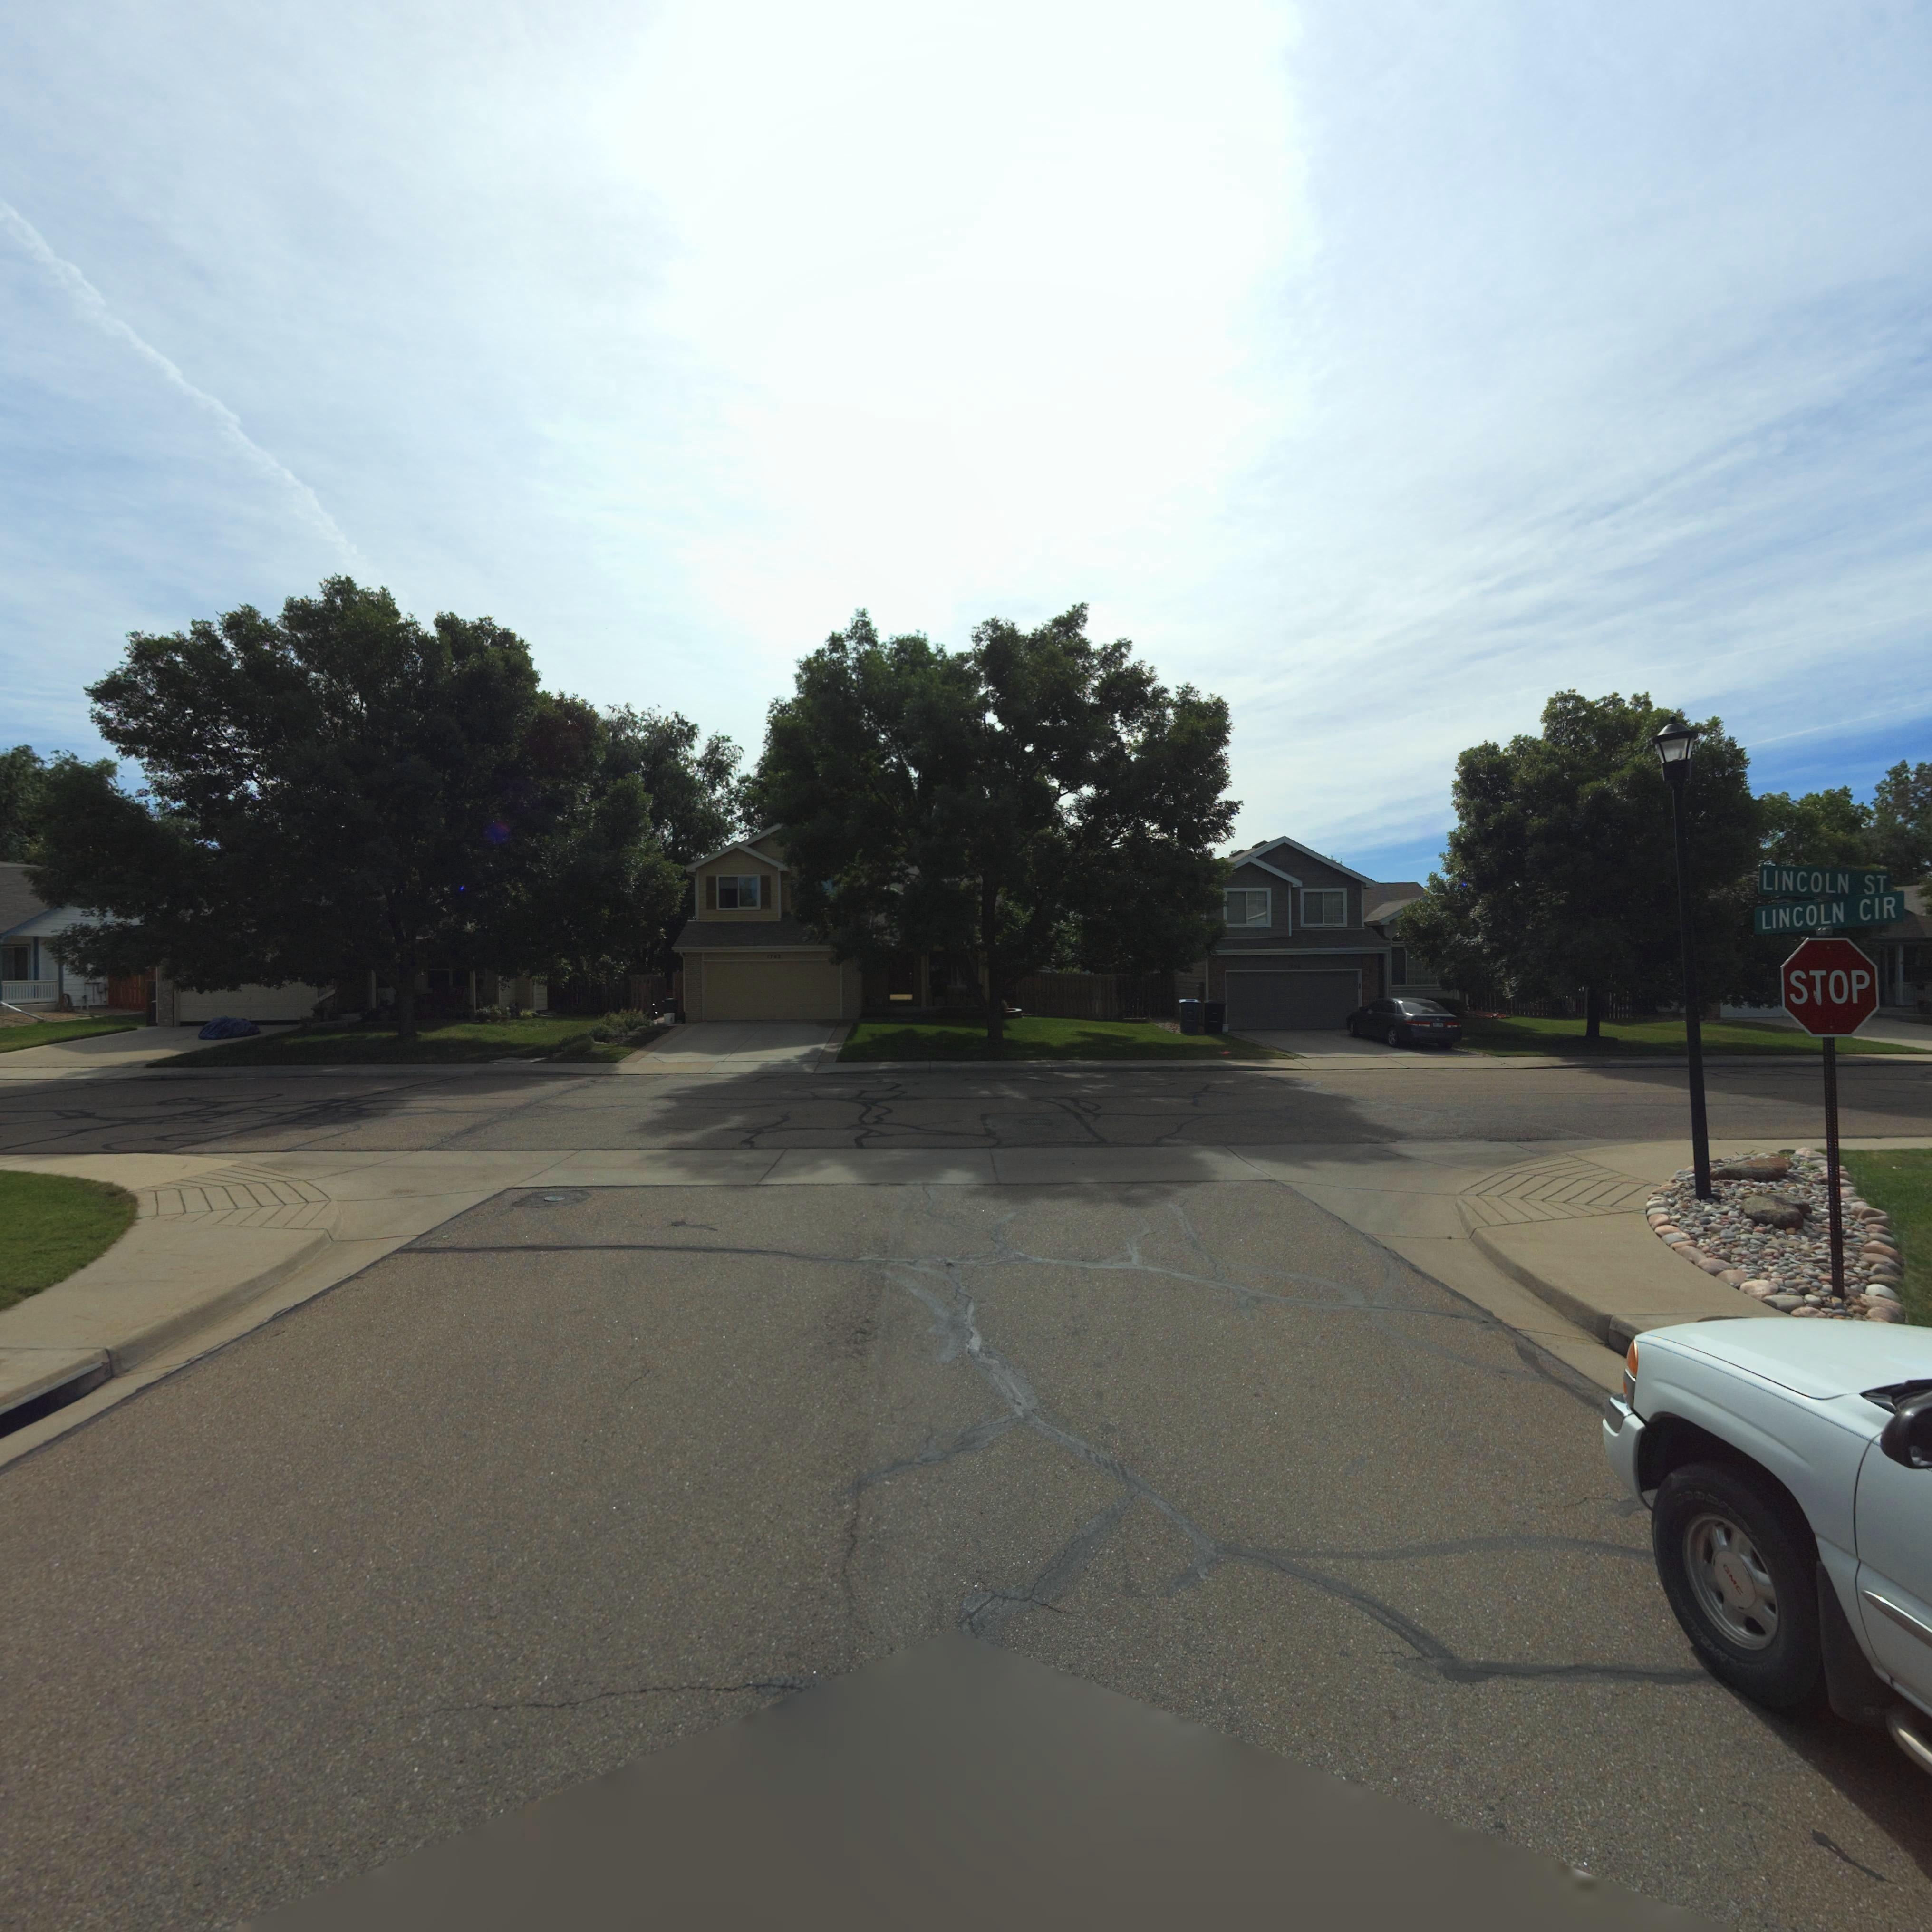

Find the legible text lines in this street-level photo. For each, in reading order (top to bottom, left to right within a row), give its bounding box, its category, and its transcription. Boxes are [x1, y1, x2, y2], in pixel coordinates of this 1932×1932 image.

[1762, 869, 1887, 895] StreetName: LINCOLN ST
[1761, 895, 1896, 930] StreetName: LINCOLN CIR
[766, 953, 781, 959] StreetNumber: 1262
[1287, 961, 1302, 970] StreetNumber: 1256